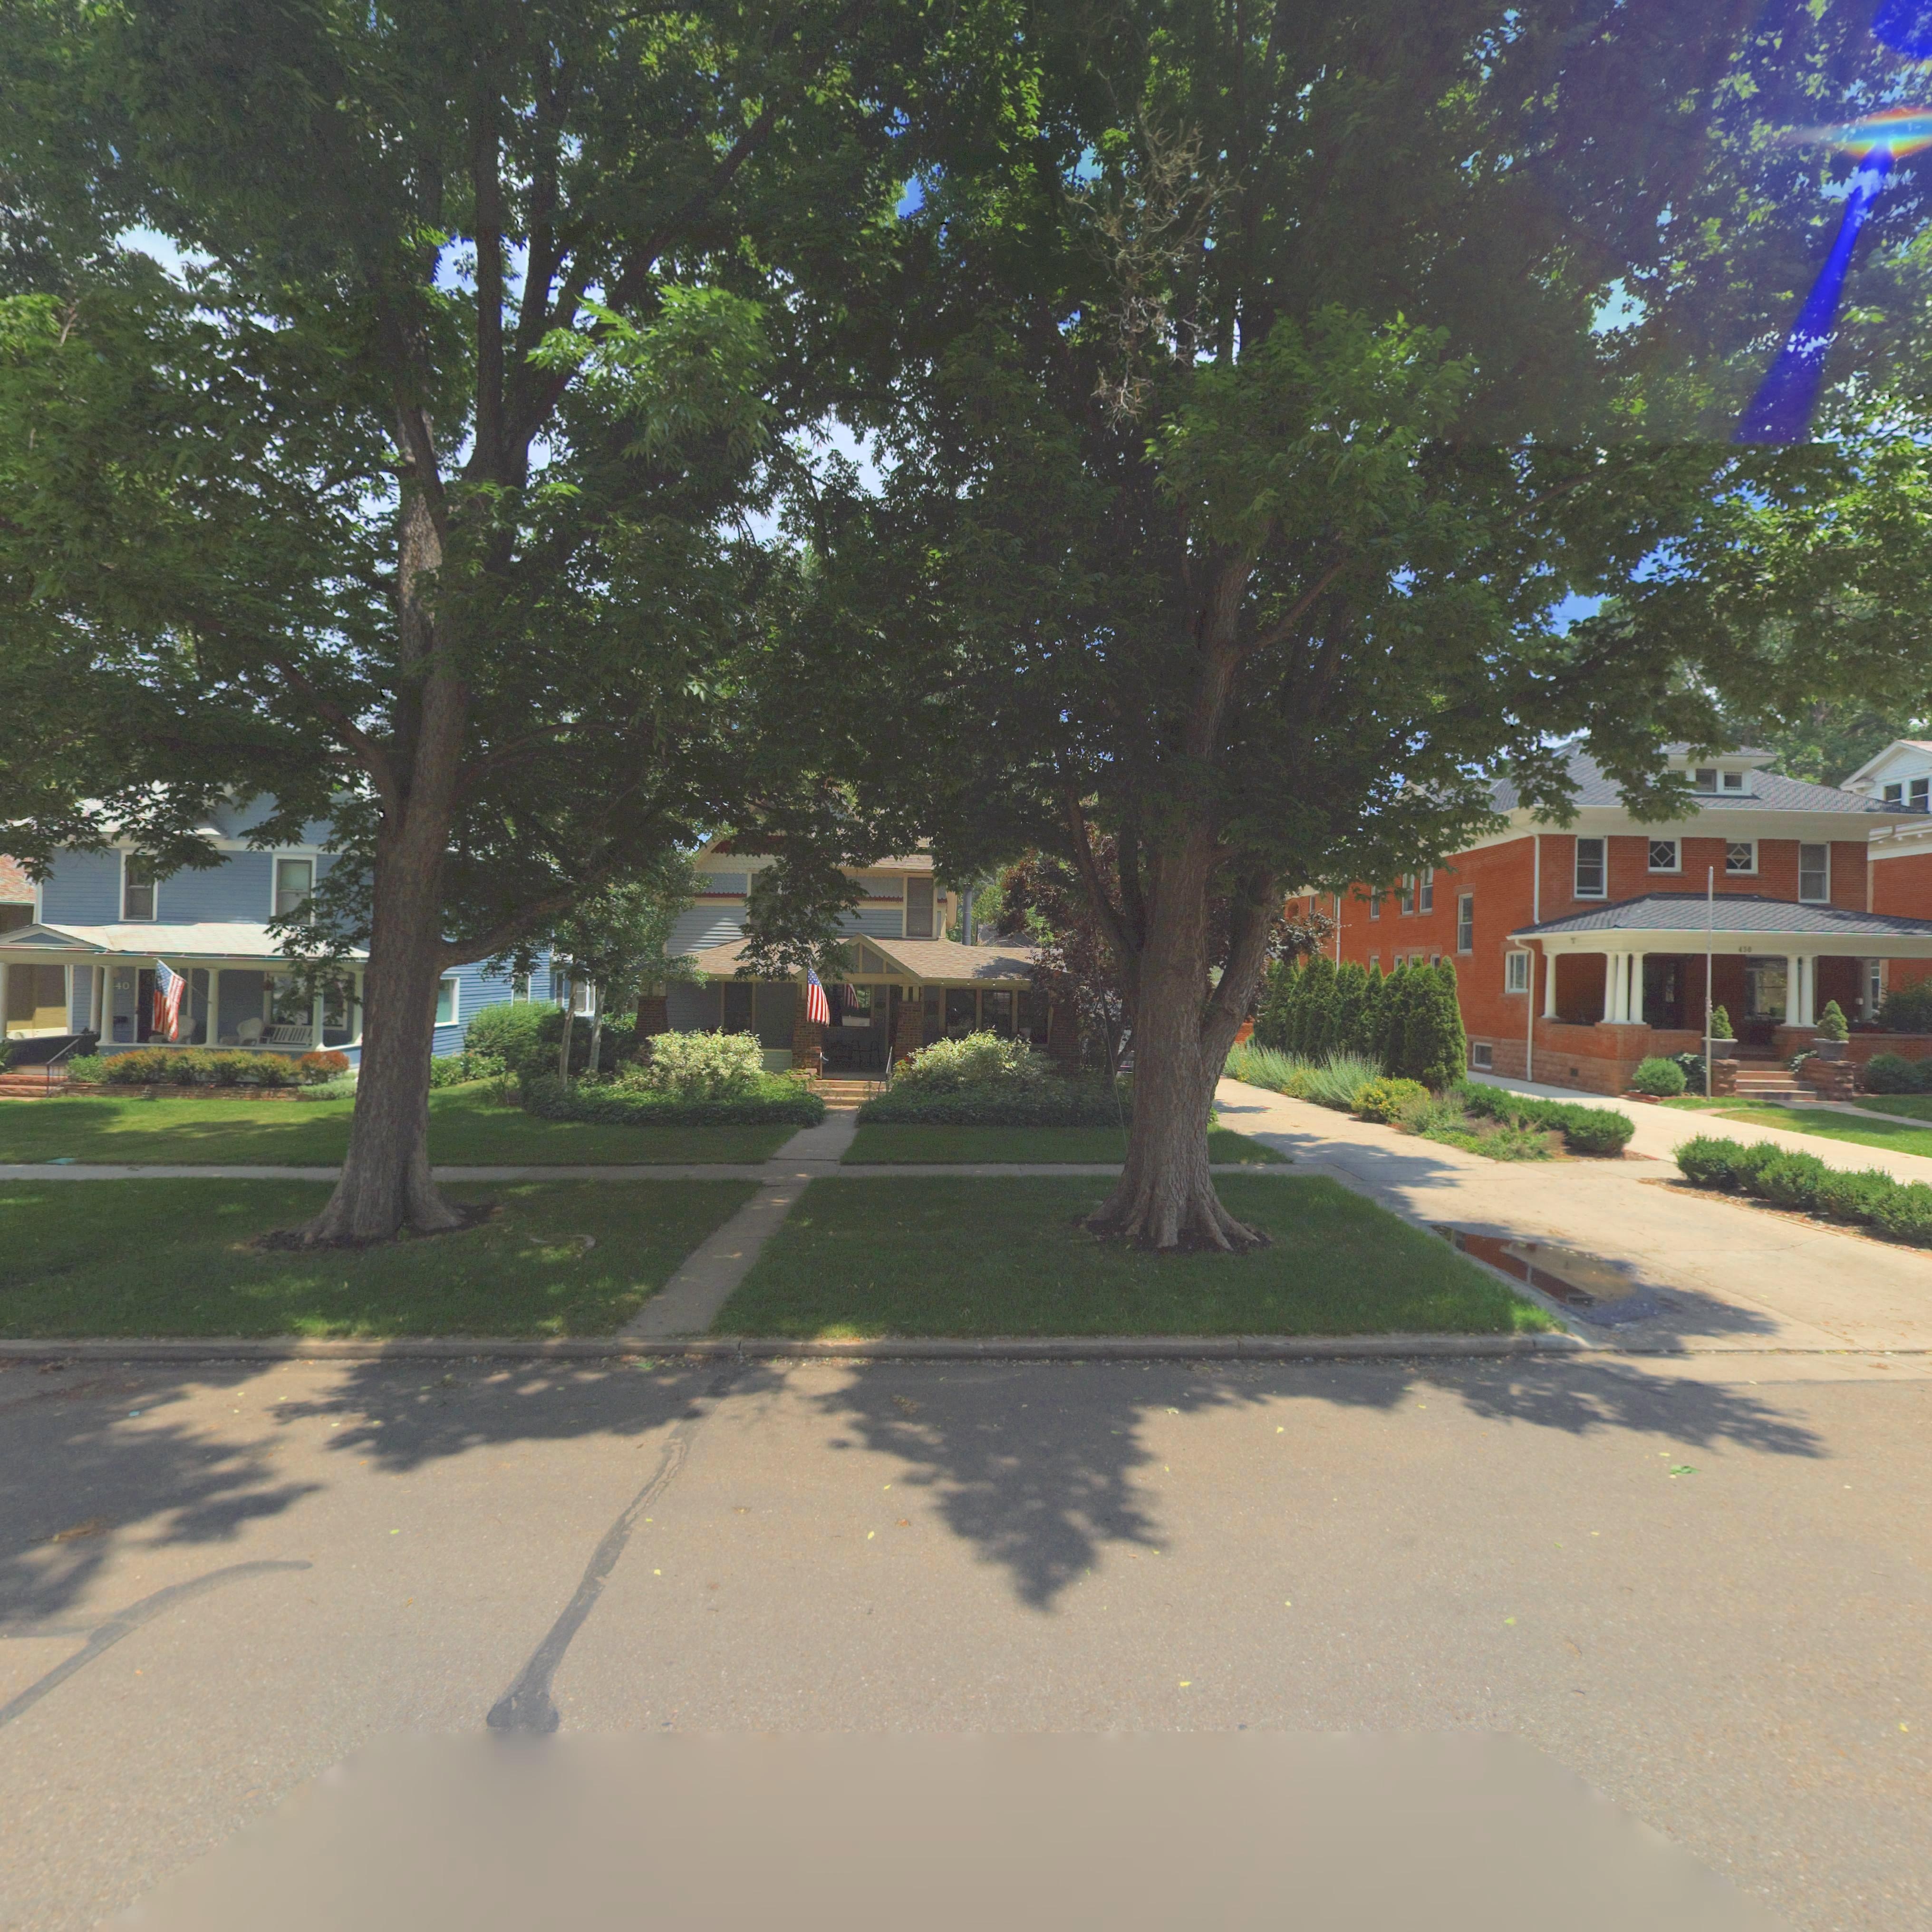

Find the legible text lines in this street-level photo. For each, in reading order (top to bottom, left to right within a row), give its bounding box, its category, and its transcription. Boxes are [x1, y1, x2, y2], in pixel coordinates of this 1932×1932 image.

[1738, 946, 1752, 952] StreetNumber: 430
[115, 981, 130, 990] StreetNumber: 40